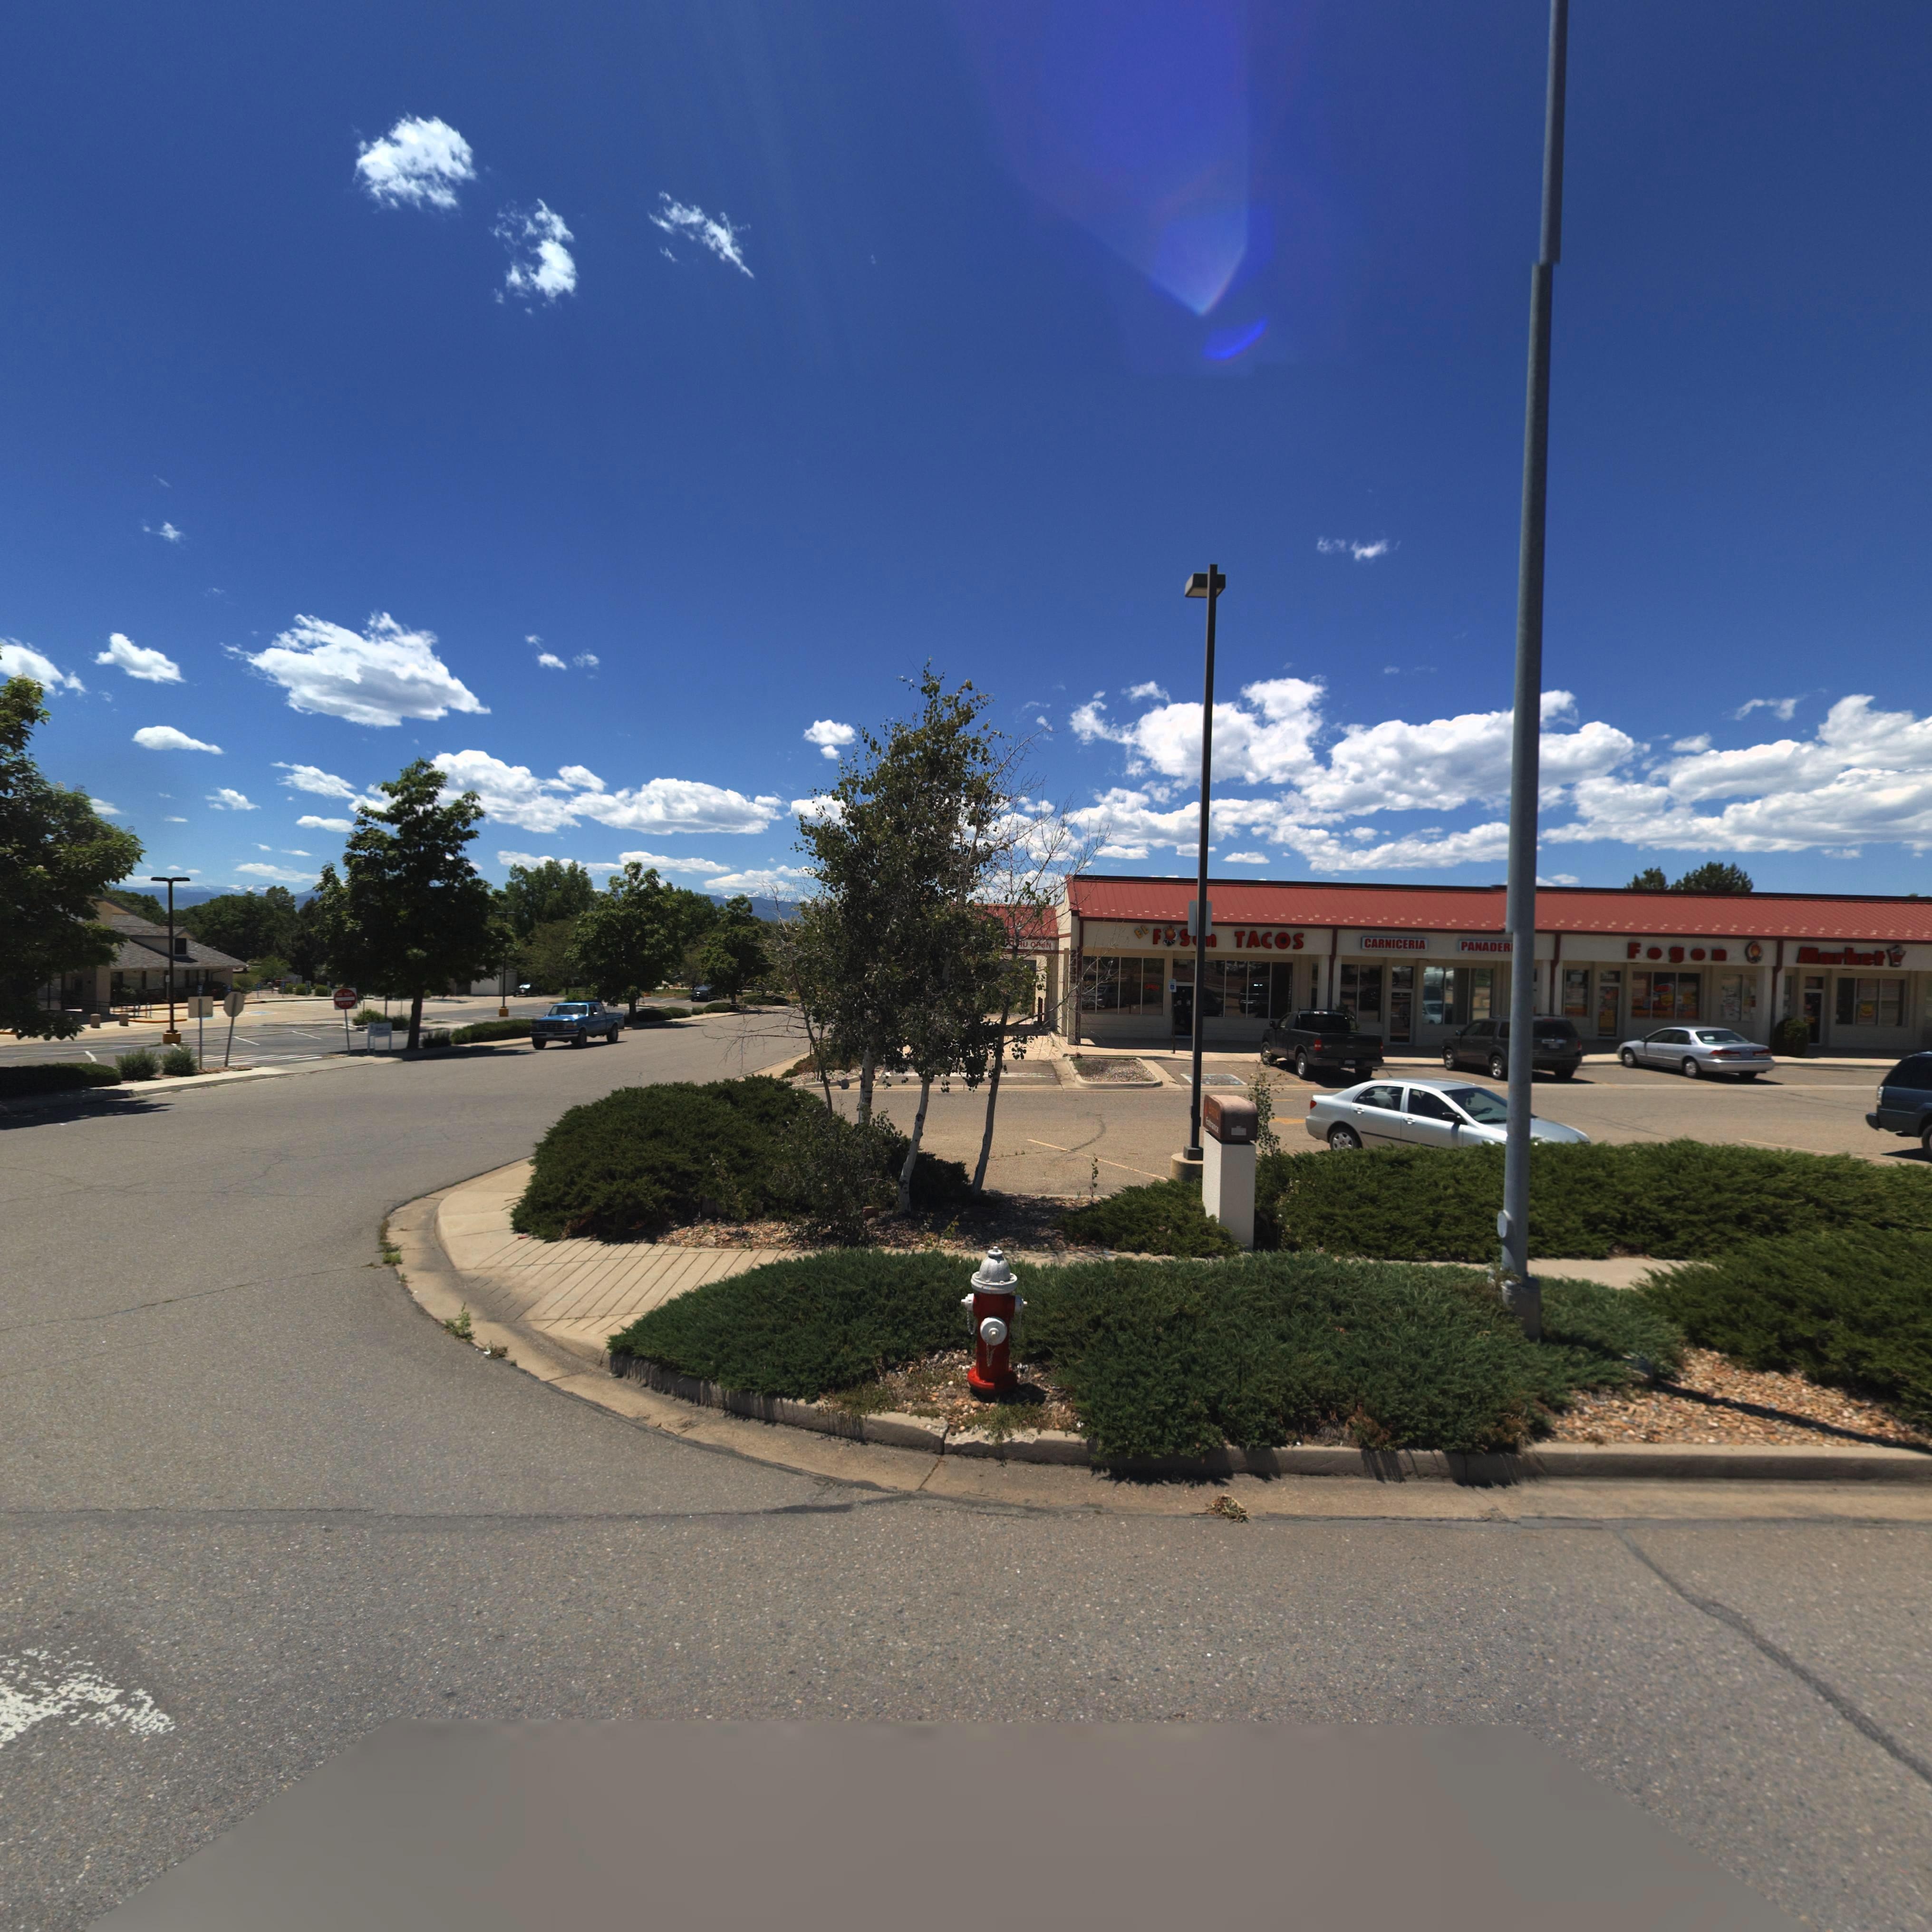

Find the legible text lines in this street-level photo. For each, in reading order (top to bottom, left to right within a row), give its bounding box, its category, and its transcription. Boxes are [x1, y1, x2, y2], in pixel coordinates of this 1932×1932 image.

[1134, 925, 1150, 939] BusinessName: EL
[1152, 925, 1304, 950] BusinessName: F***n TACOS
[1069, 949, 1076, 984] StreetNumber: 2333
[1626, 941, 1887, 967] BusinessName: Fogon Market